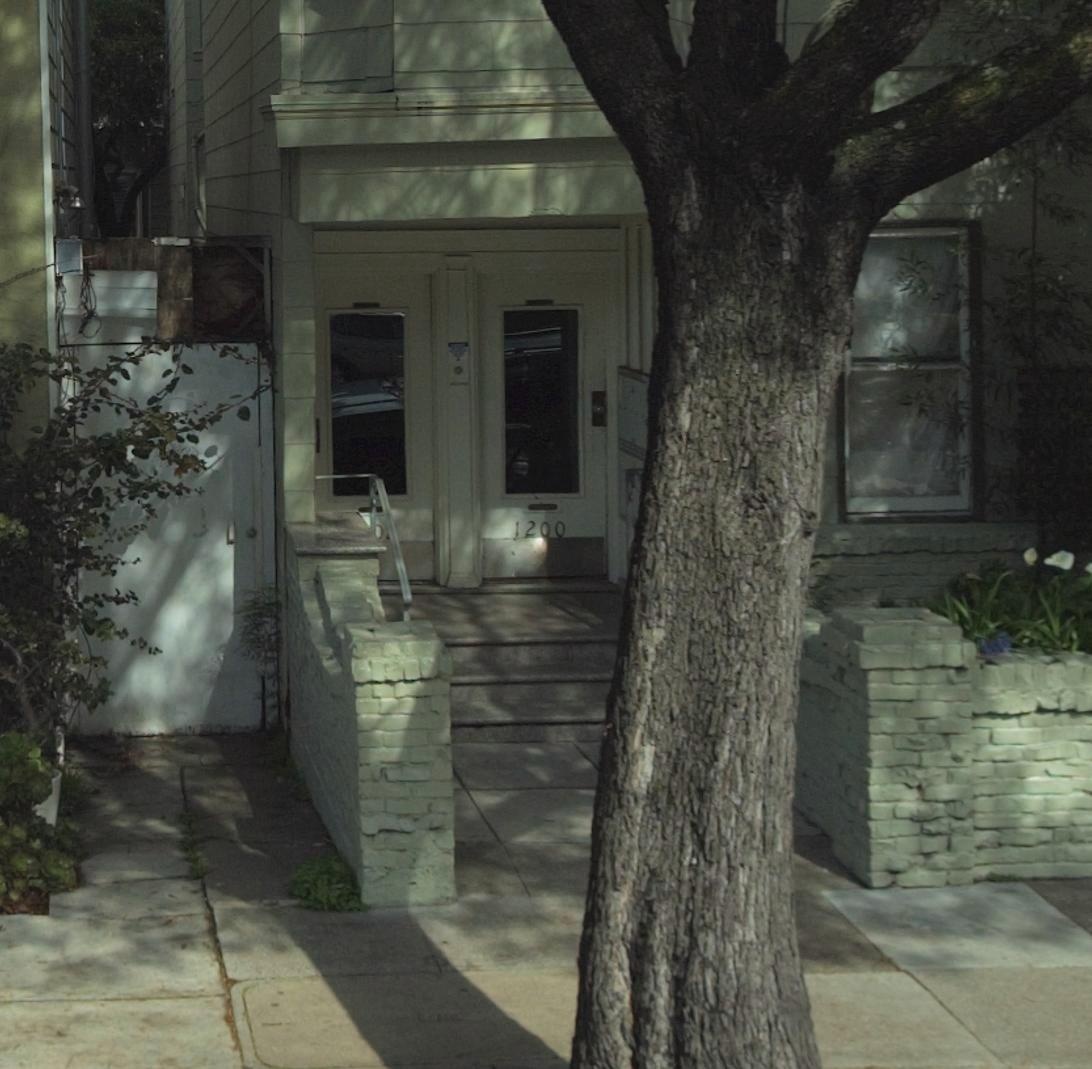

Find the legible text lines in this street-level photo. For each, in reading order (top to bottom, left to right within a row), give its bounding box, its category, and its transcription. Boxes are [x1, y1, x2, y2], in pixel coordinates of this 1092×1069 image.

[513, 519, 567, 540] StreetNumber: 1200